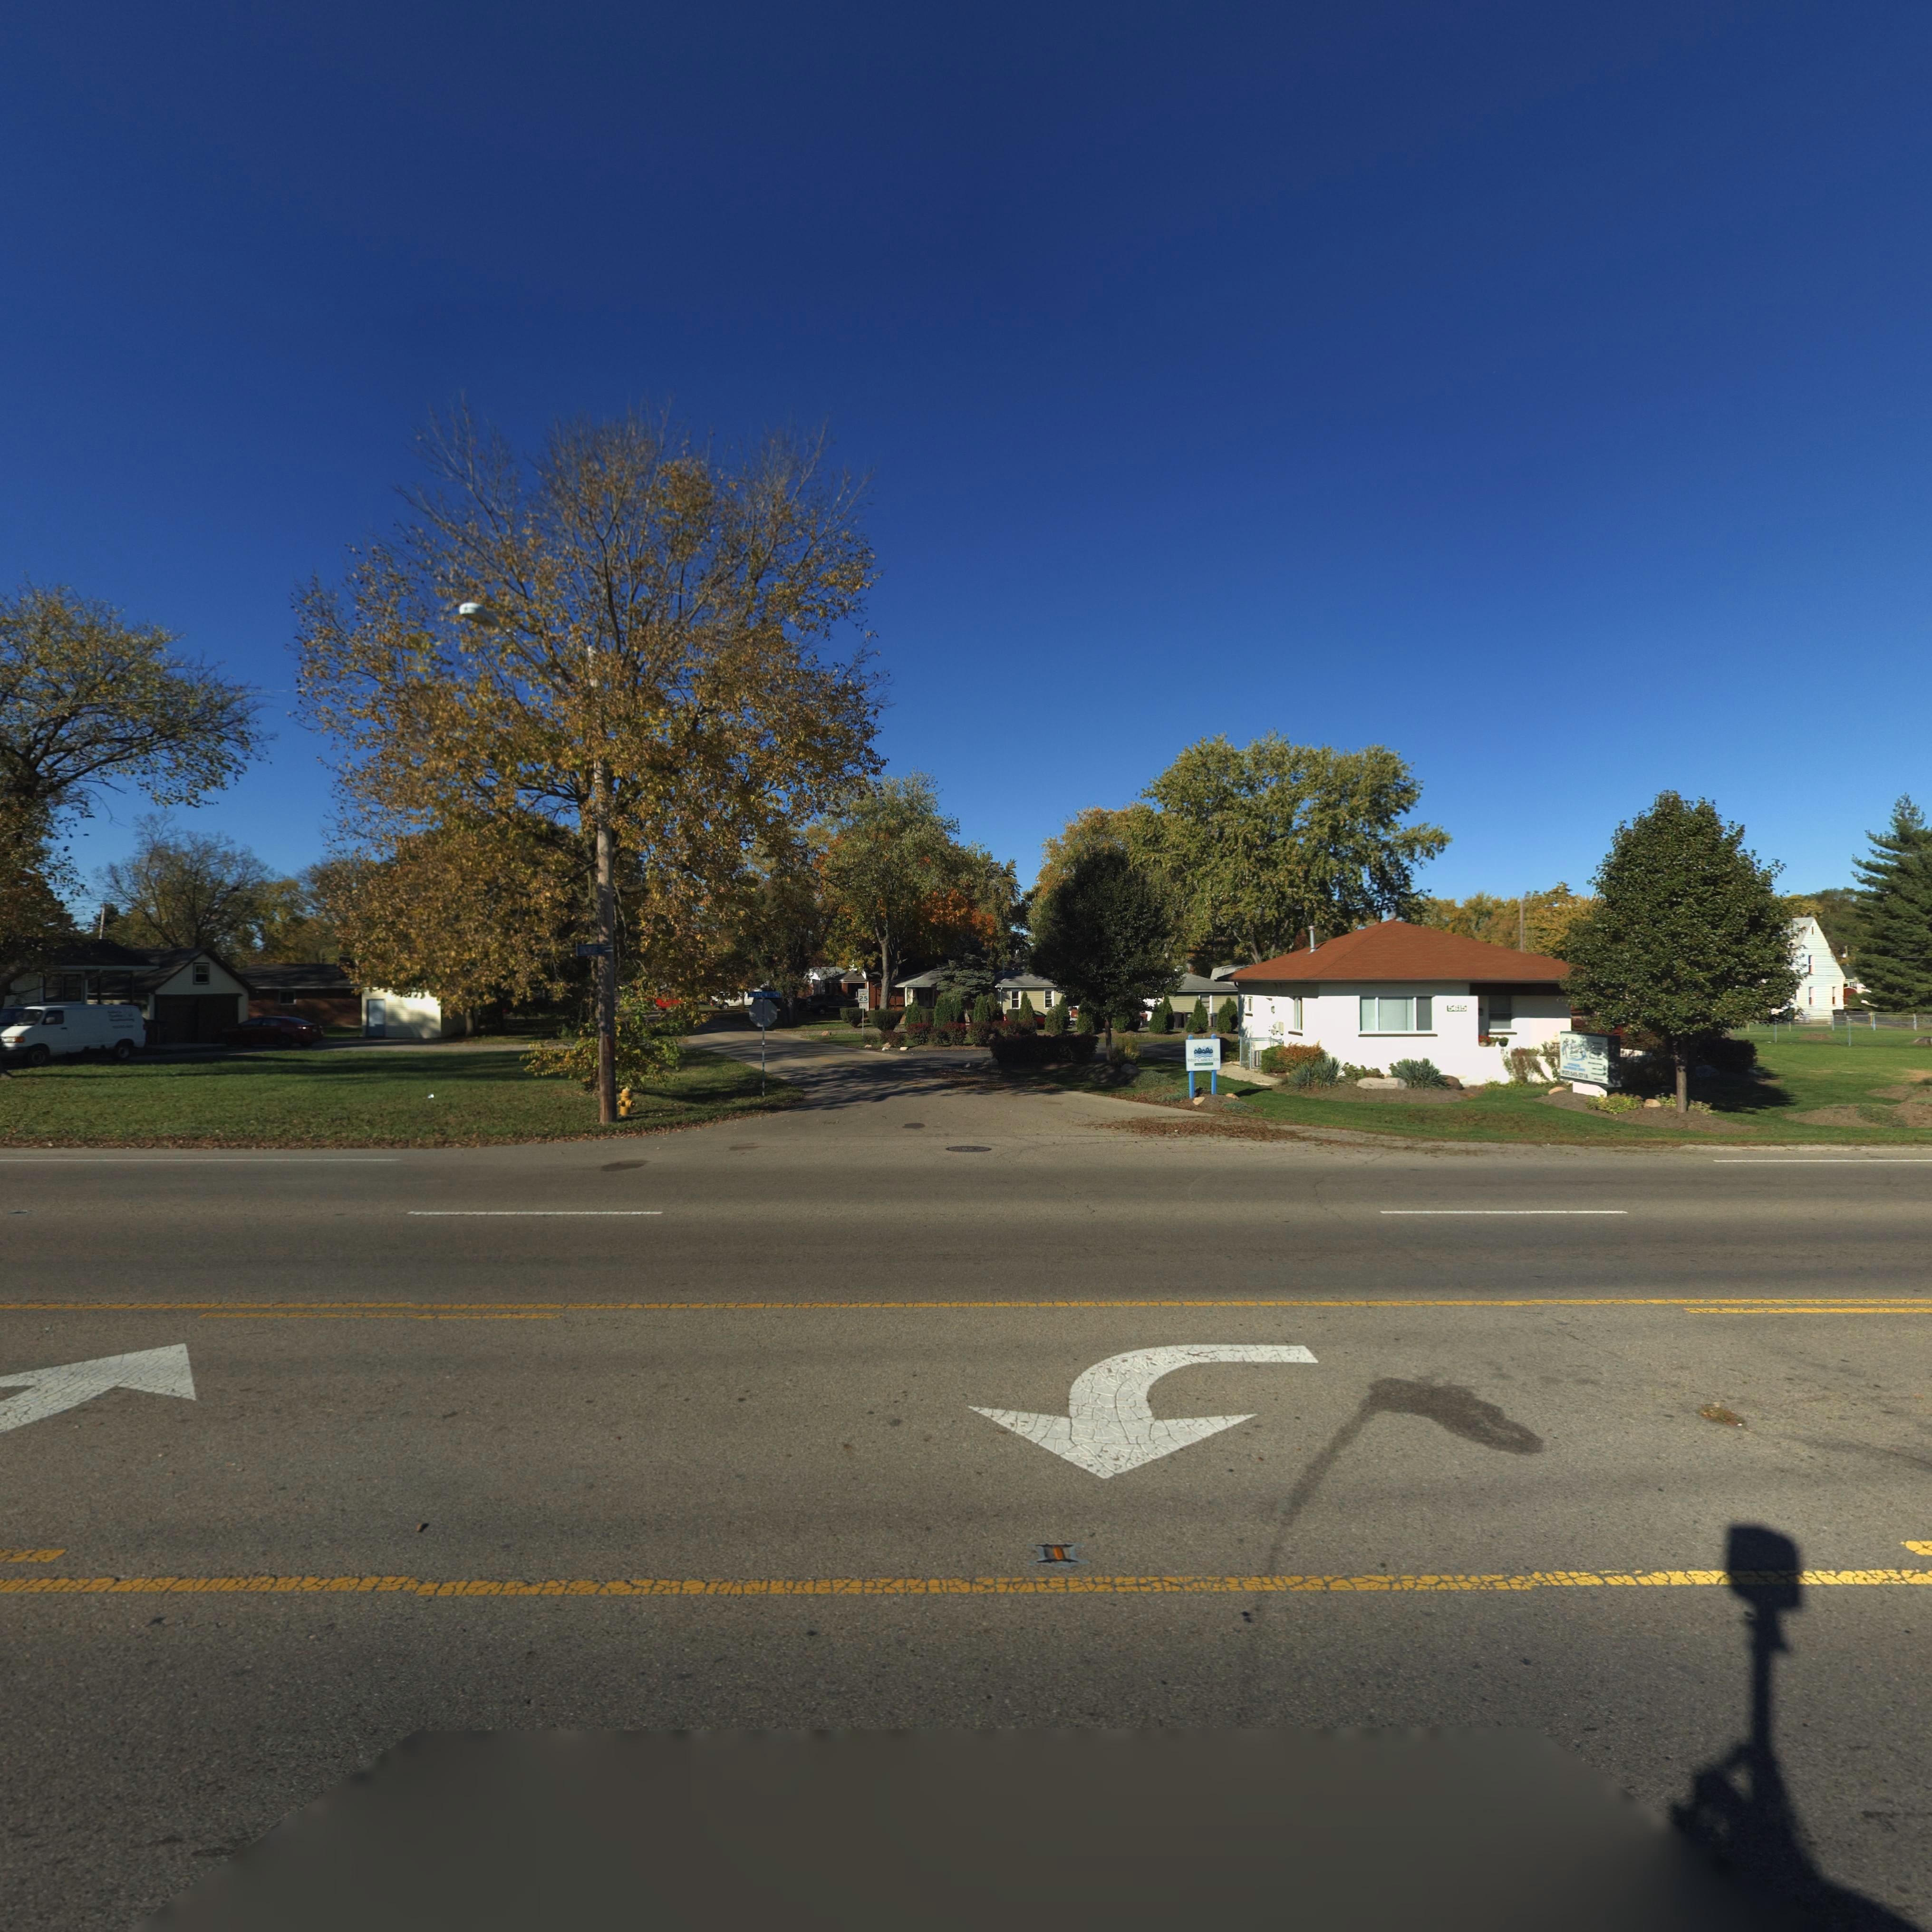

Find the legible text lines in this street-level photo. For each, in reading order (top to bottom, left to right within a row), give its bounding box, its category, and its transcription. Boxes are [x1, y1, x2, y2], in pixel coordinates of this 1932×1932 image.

[1448, 1005, 1467, 1011] StreetNumber: 5615